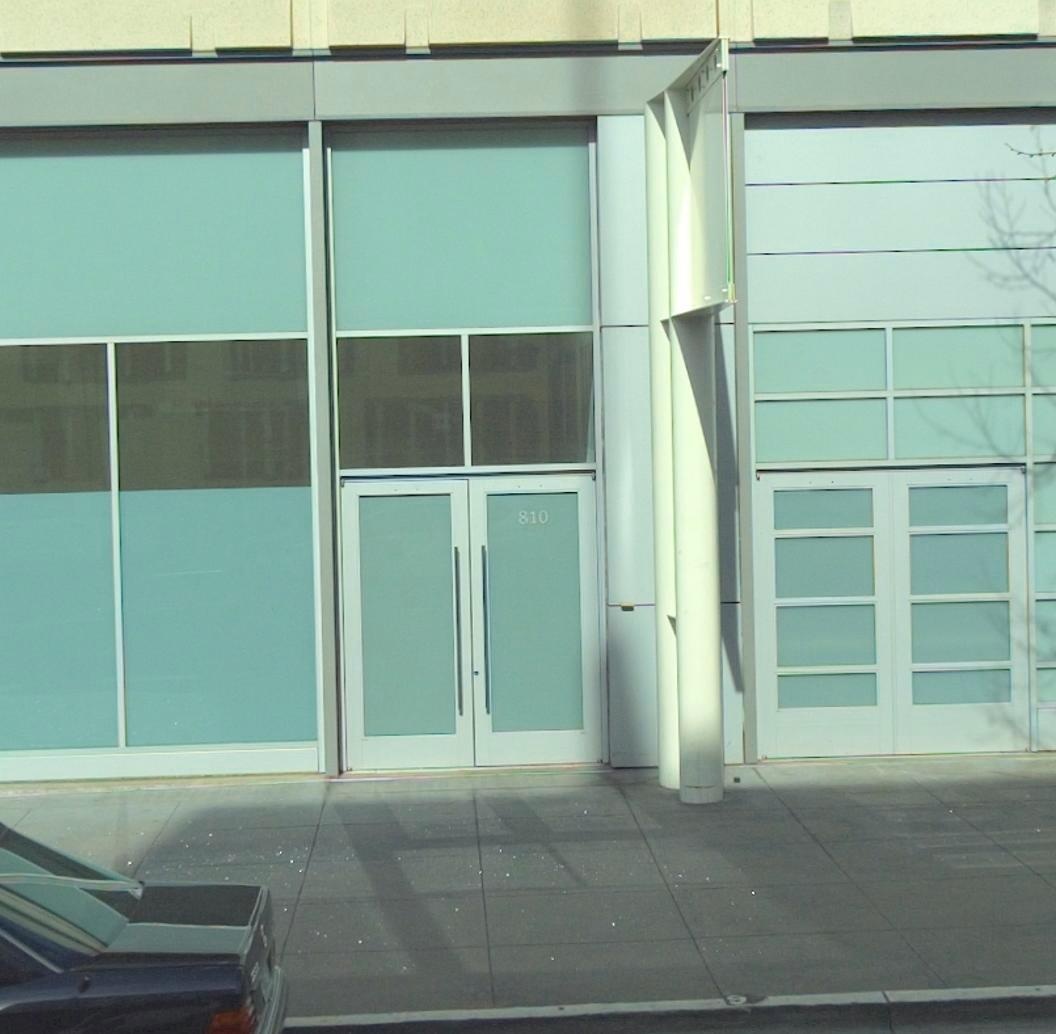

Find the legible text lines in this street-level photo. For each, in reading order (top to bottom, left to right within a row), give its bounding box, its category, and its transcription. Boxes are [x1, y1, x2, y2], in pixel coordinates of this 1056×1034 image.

[515, 507, 552, 527] StreetNumber: 810